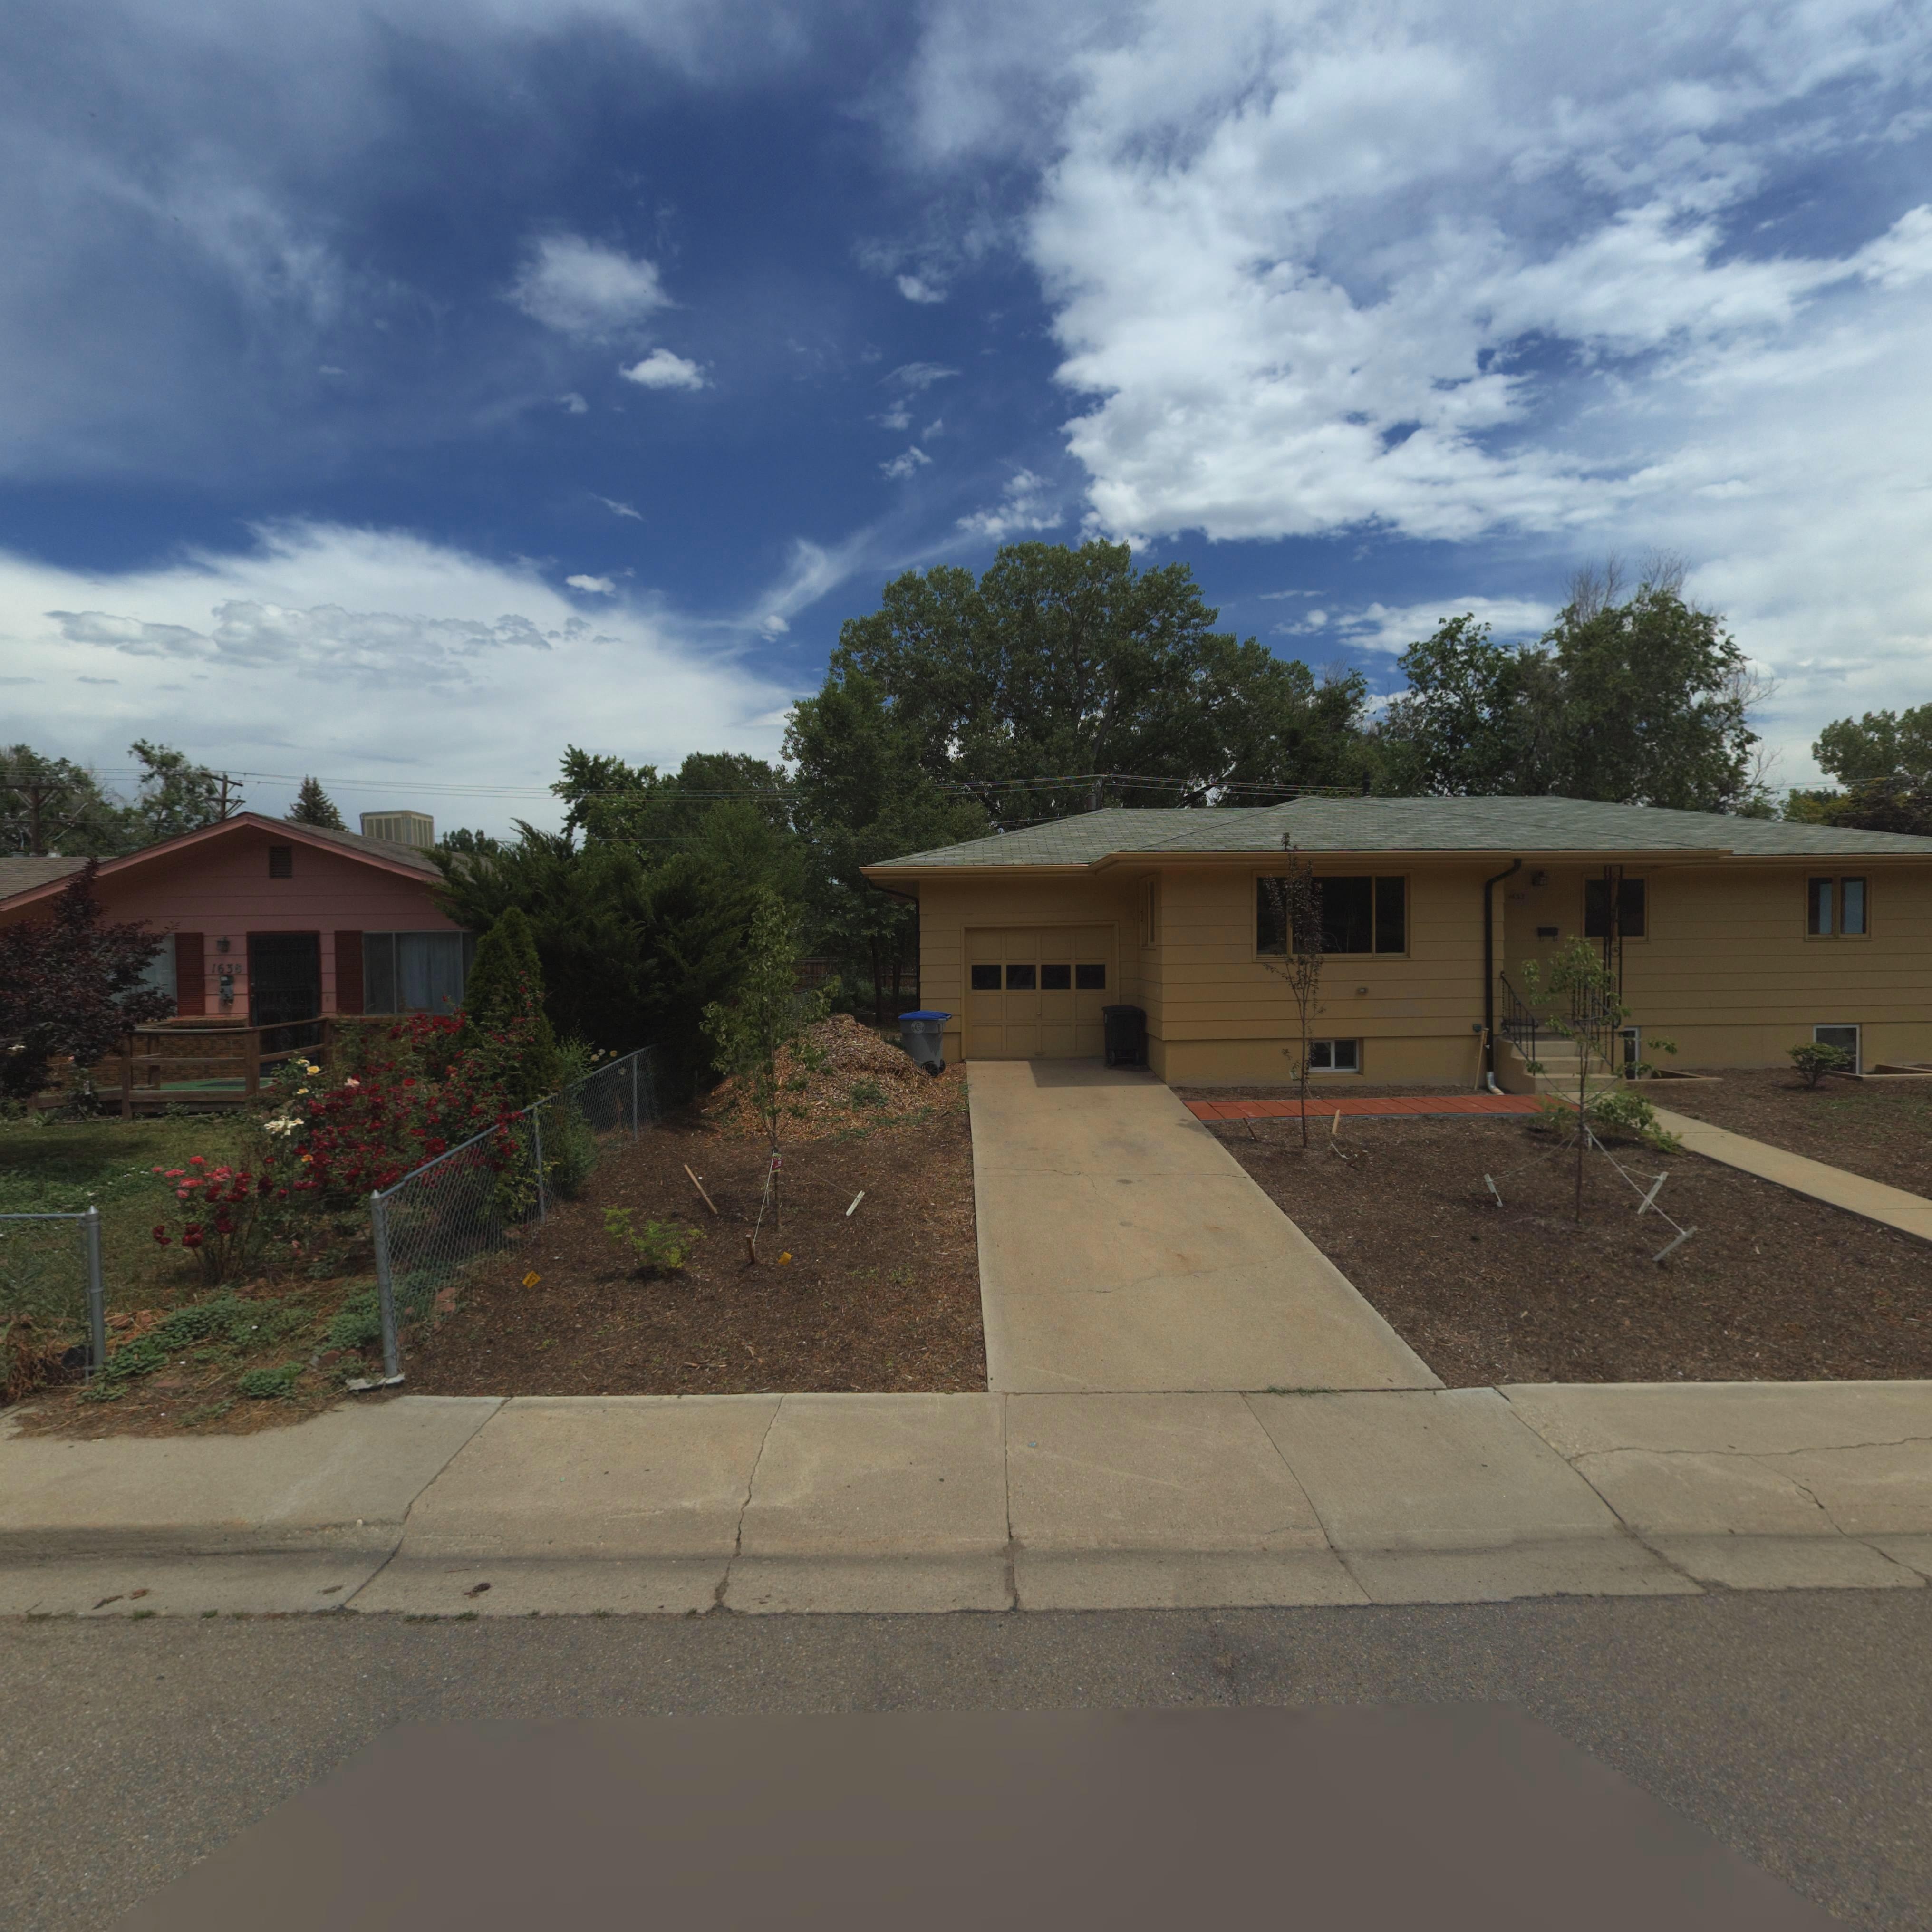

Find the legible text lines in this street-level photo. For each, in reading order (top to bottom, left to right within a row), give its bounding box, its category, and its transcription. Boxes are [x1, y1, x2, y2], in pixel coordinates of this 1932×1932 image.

[1507, 892, 1526, 900] StreetNumber: 1632
[210, 962, 242, 974] StreetNumber: 1638